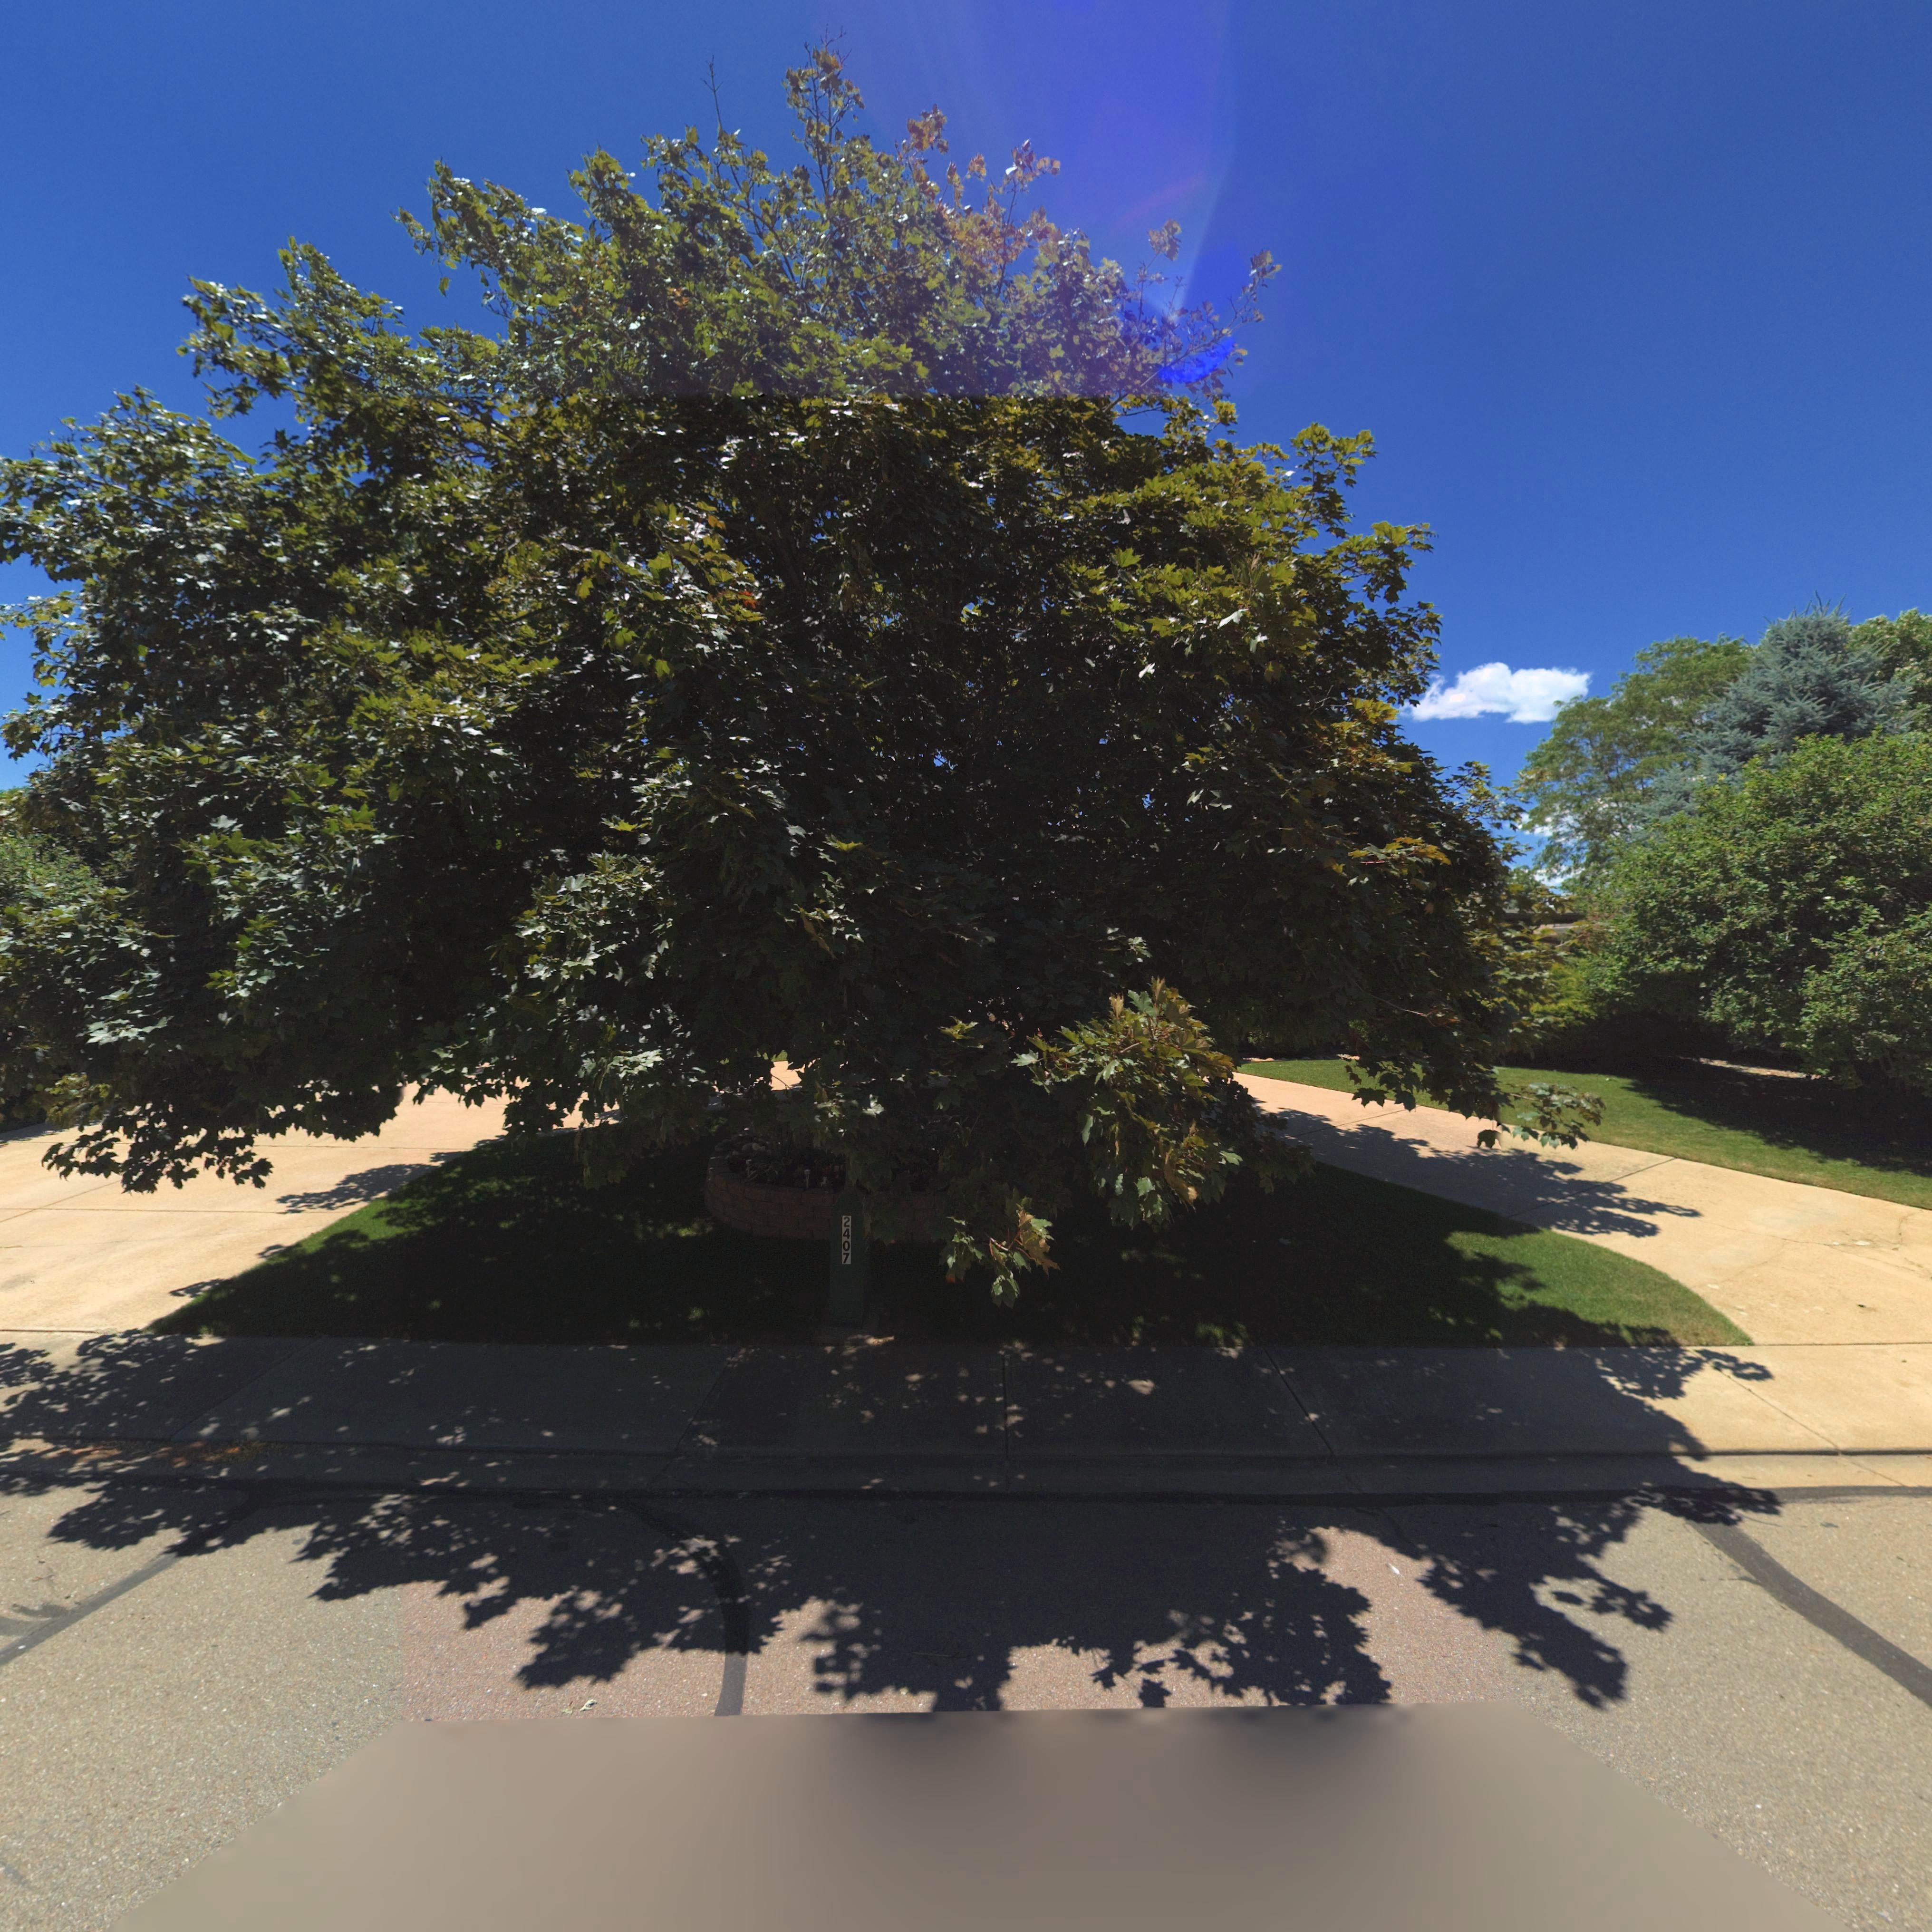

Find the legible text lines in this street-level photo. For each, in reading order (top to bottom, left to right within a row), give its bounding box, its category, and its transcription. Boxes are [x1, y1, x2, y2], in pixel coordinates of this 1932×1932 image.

[842, 1216, 850, 1263] StreetNumber: 2407